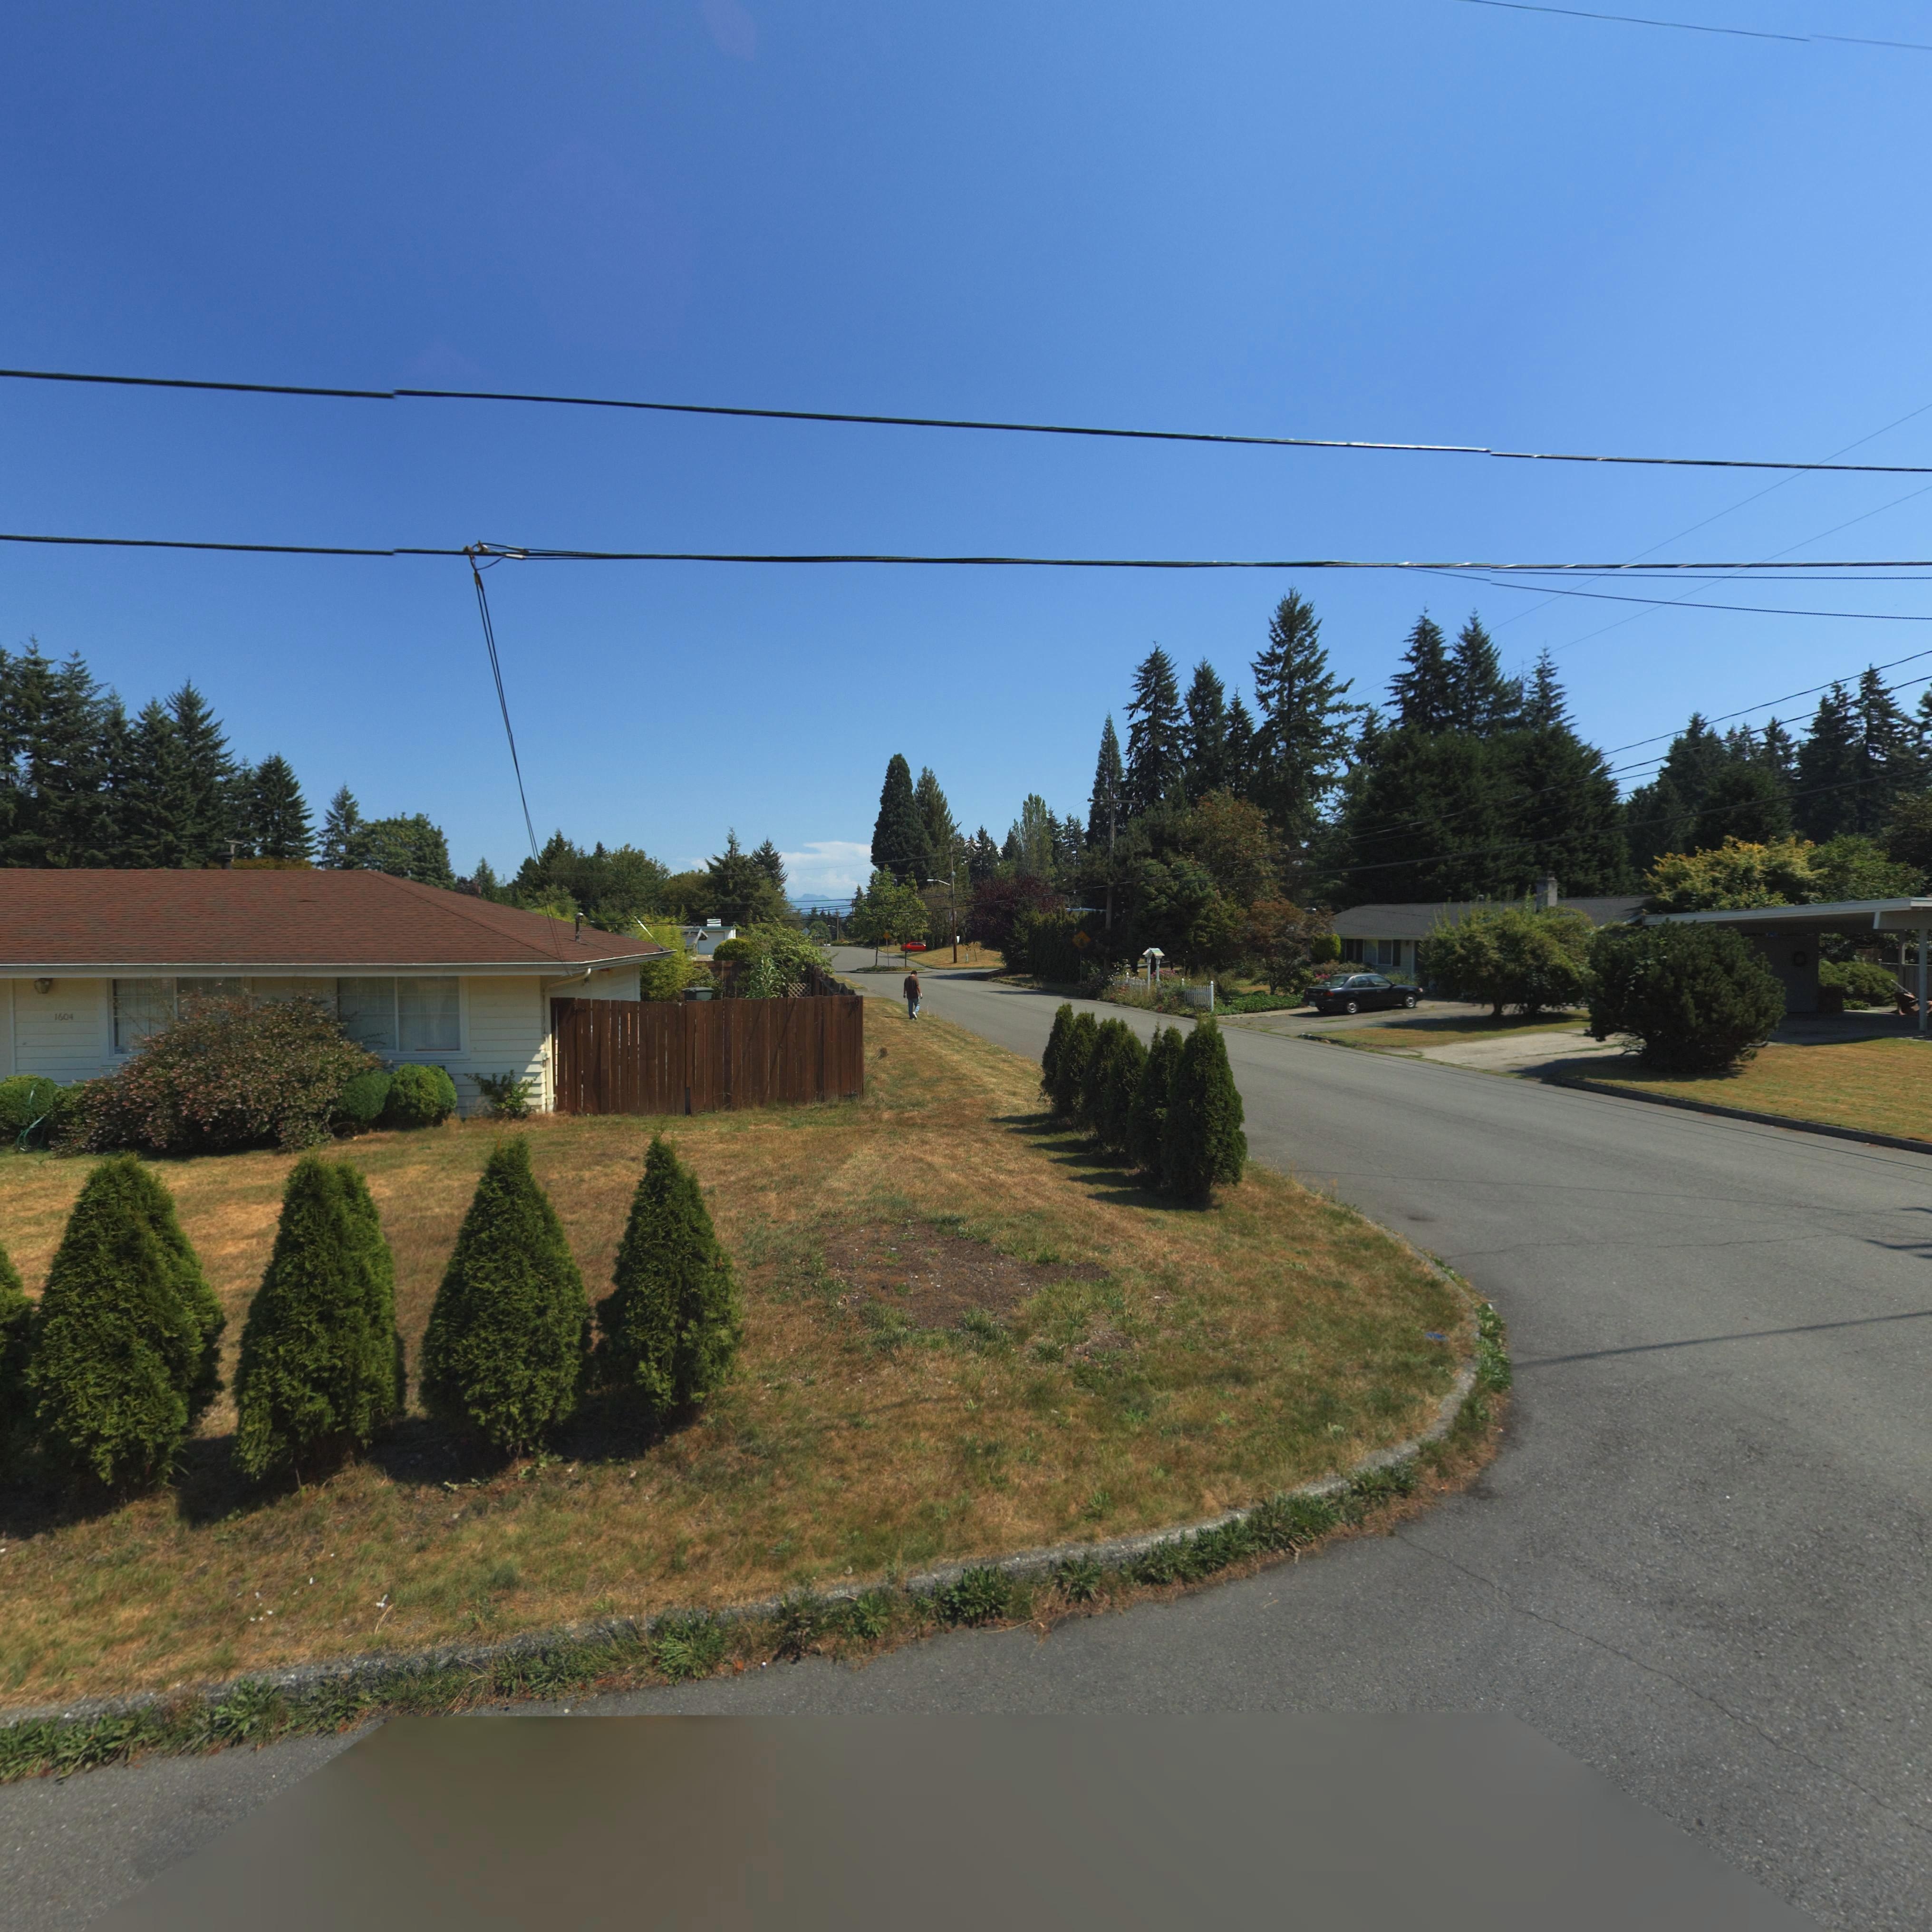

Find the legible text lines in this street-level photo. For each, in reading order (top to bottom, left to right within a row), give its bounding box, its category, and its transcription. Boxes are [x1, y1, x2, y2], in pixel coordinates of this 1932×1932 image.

[55, 1012, 73, 1021] StreetNumber: 1604